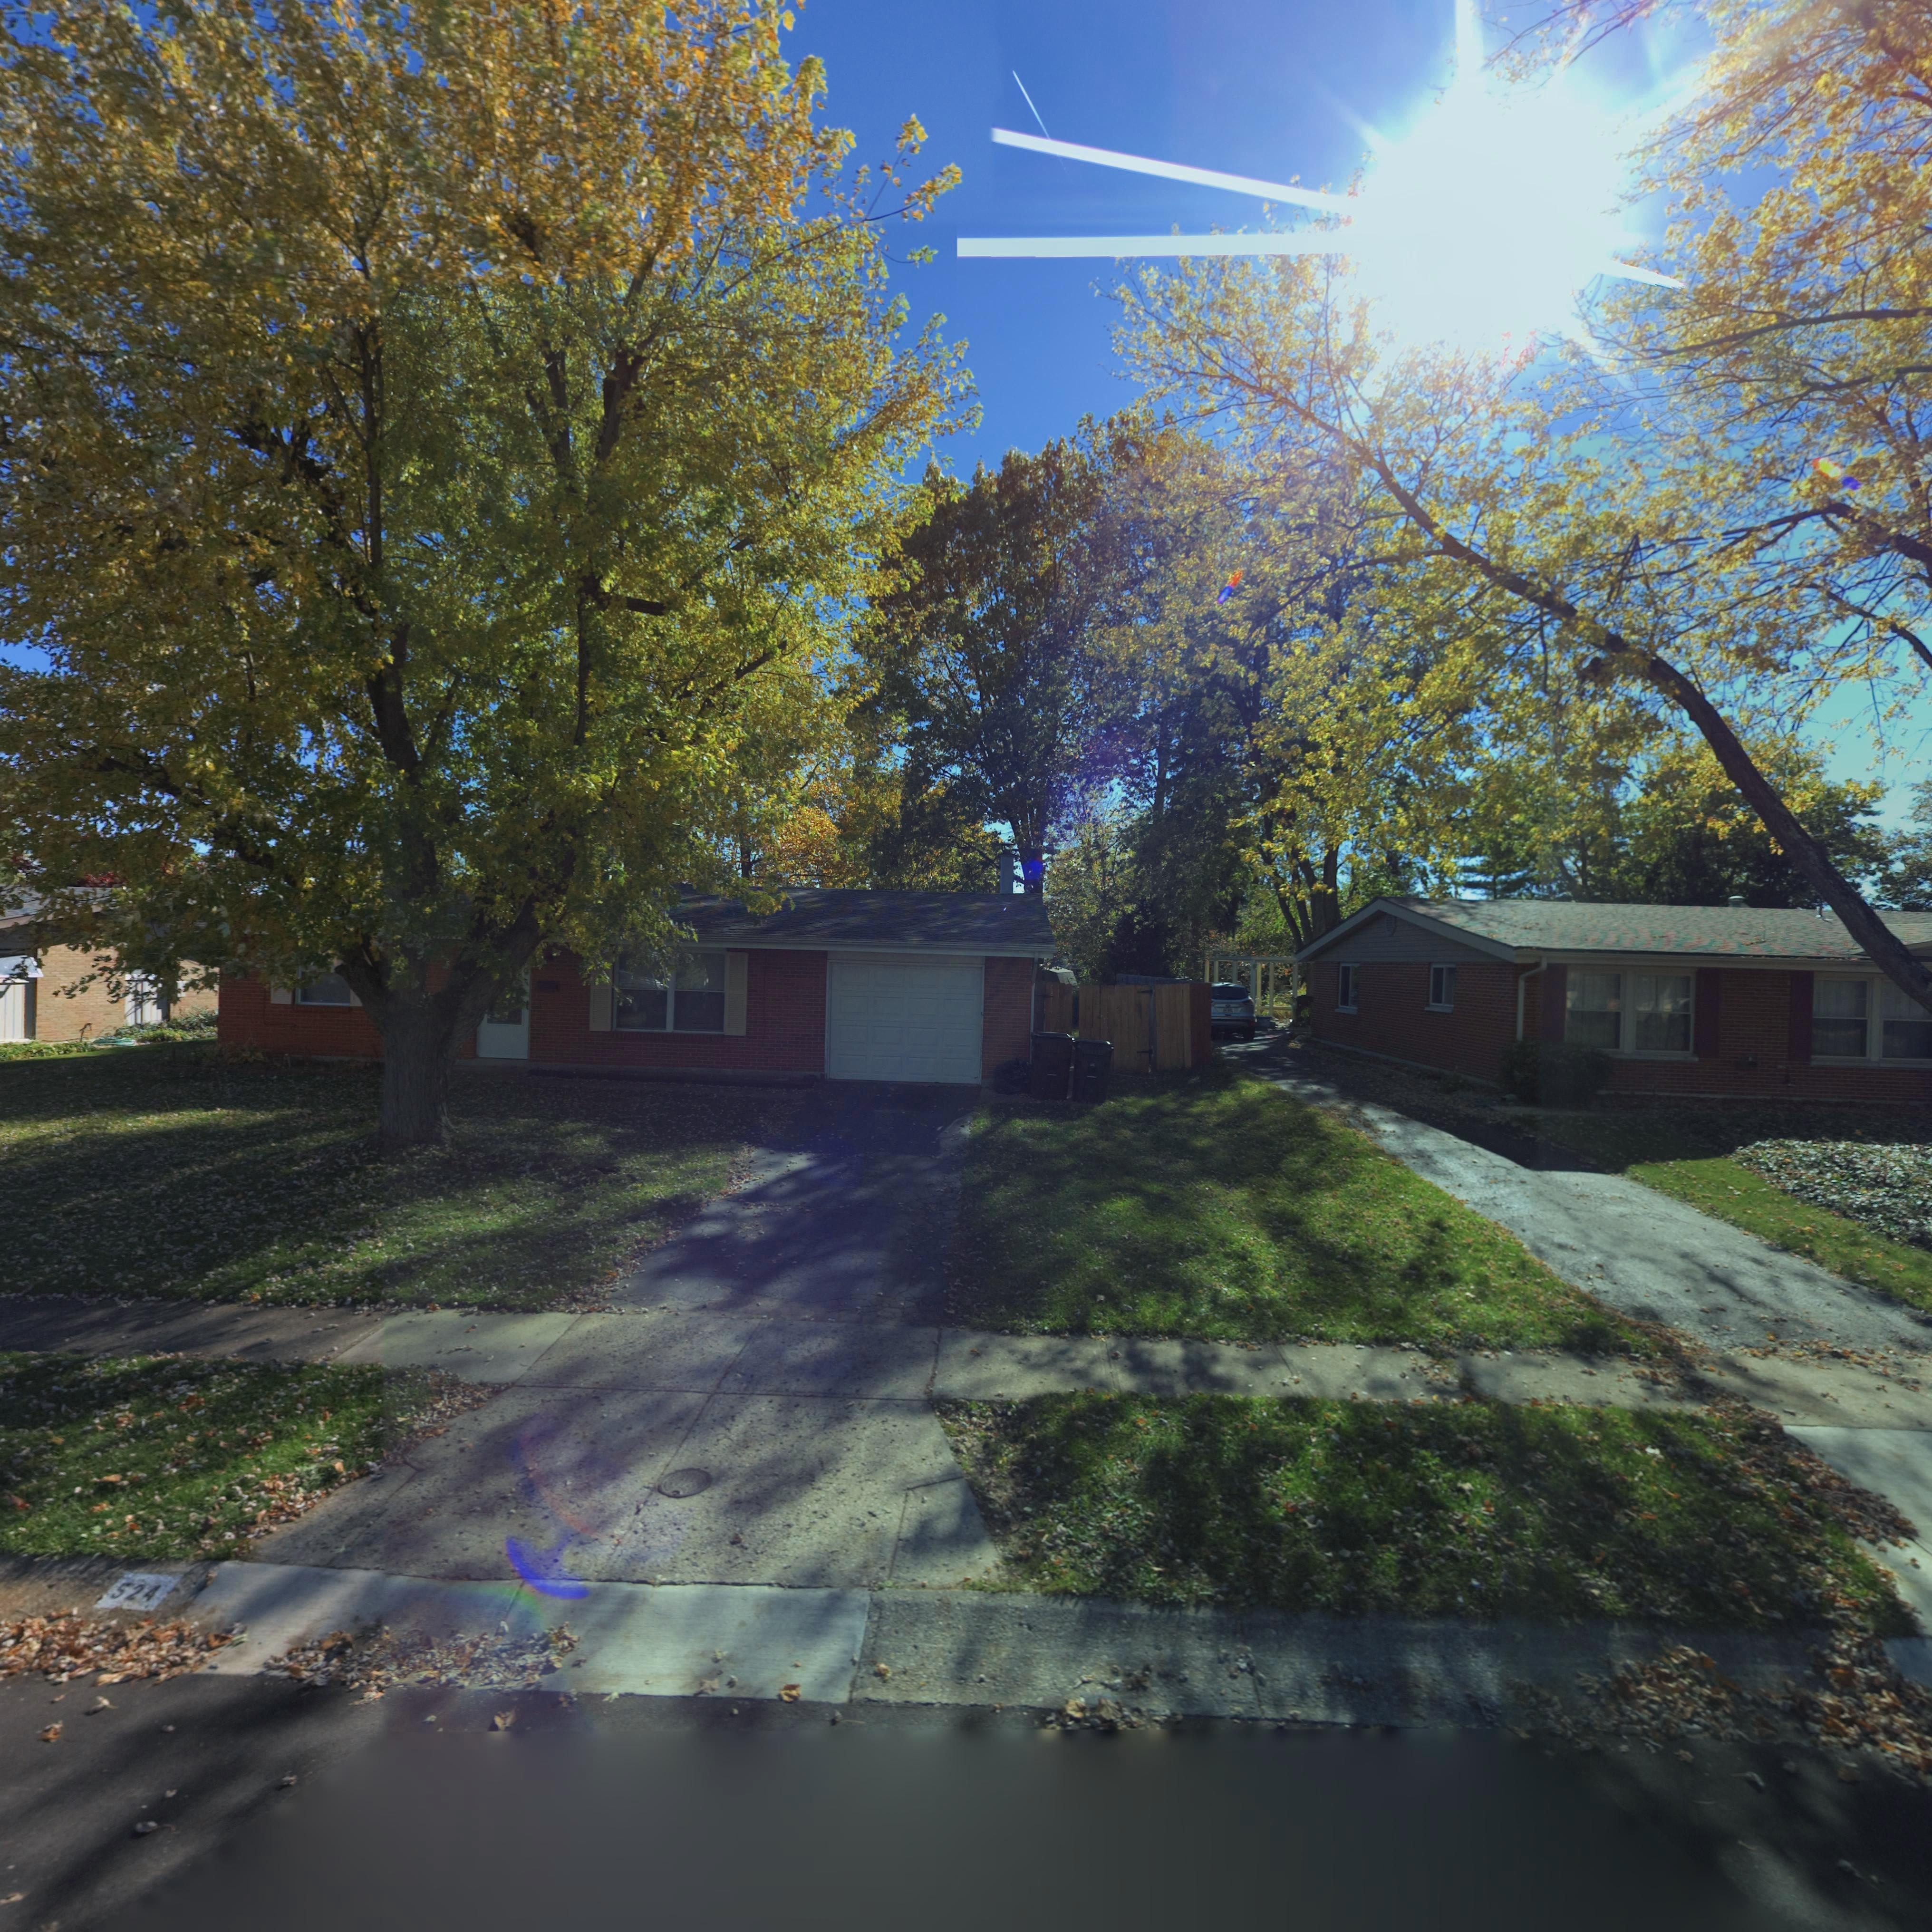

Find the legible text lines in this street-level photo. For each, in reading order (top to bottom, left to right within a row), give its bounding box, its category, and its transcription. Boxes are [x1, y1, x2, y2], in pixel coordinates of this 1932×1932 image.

[107, 1579, 164, 1604] StreetNumber: 524